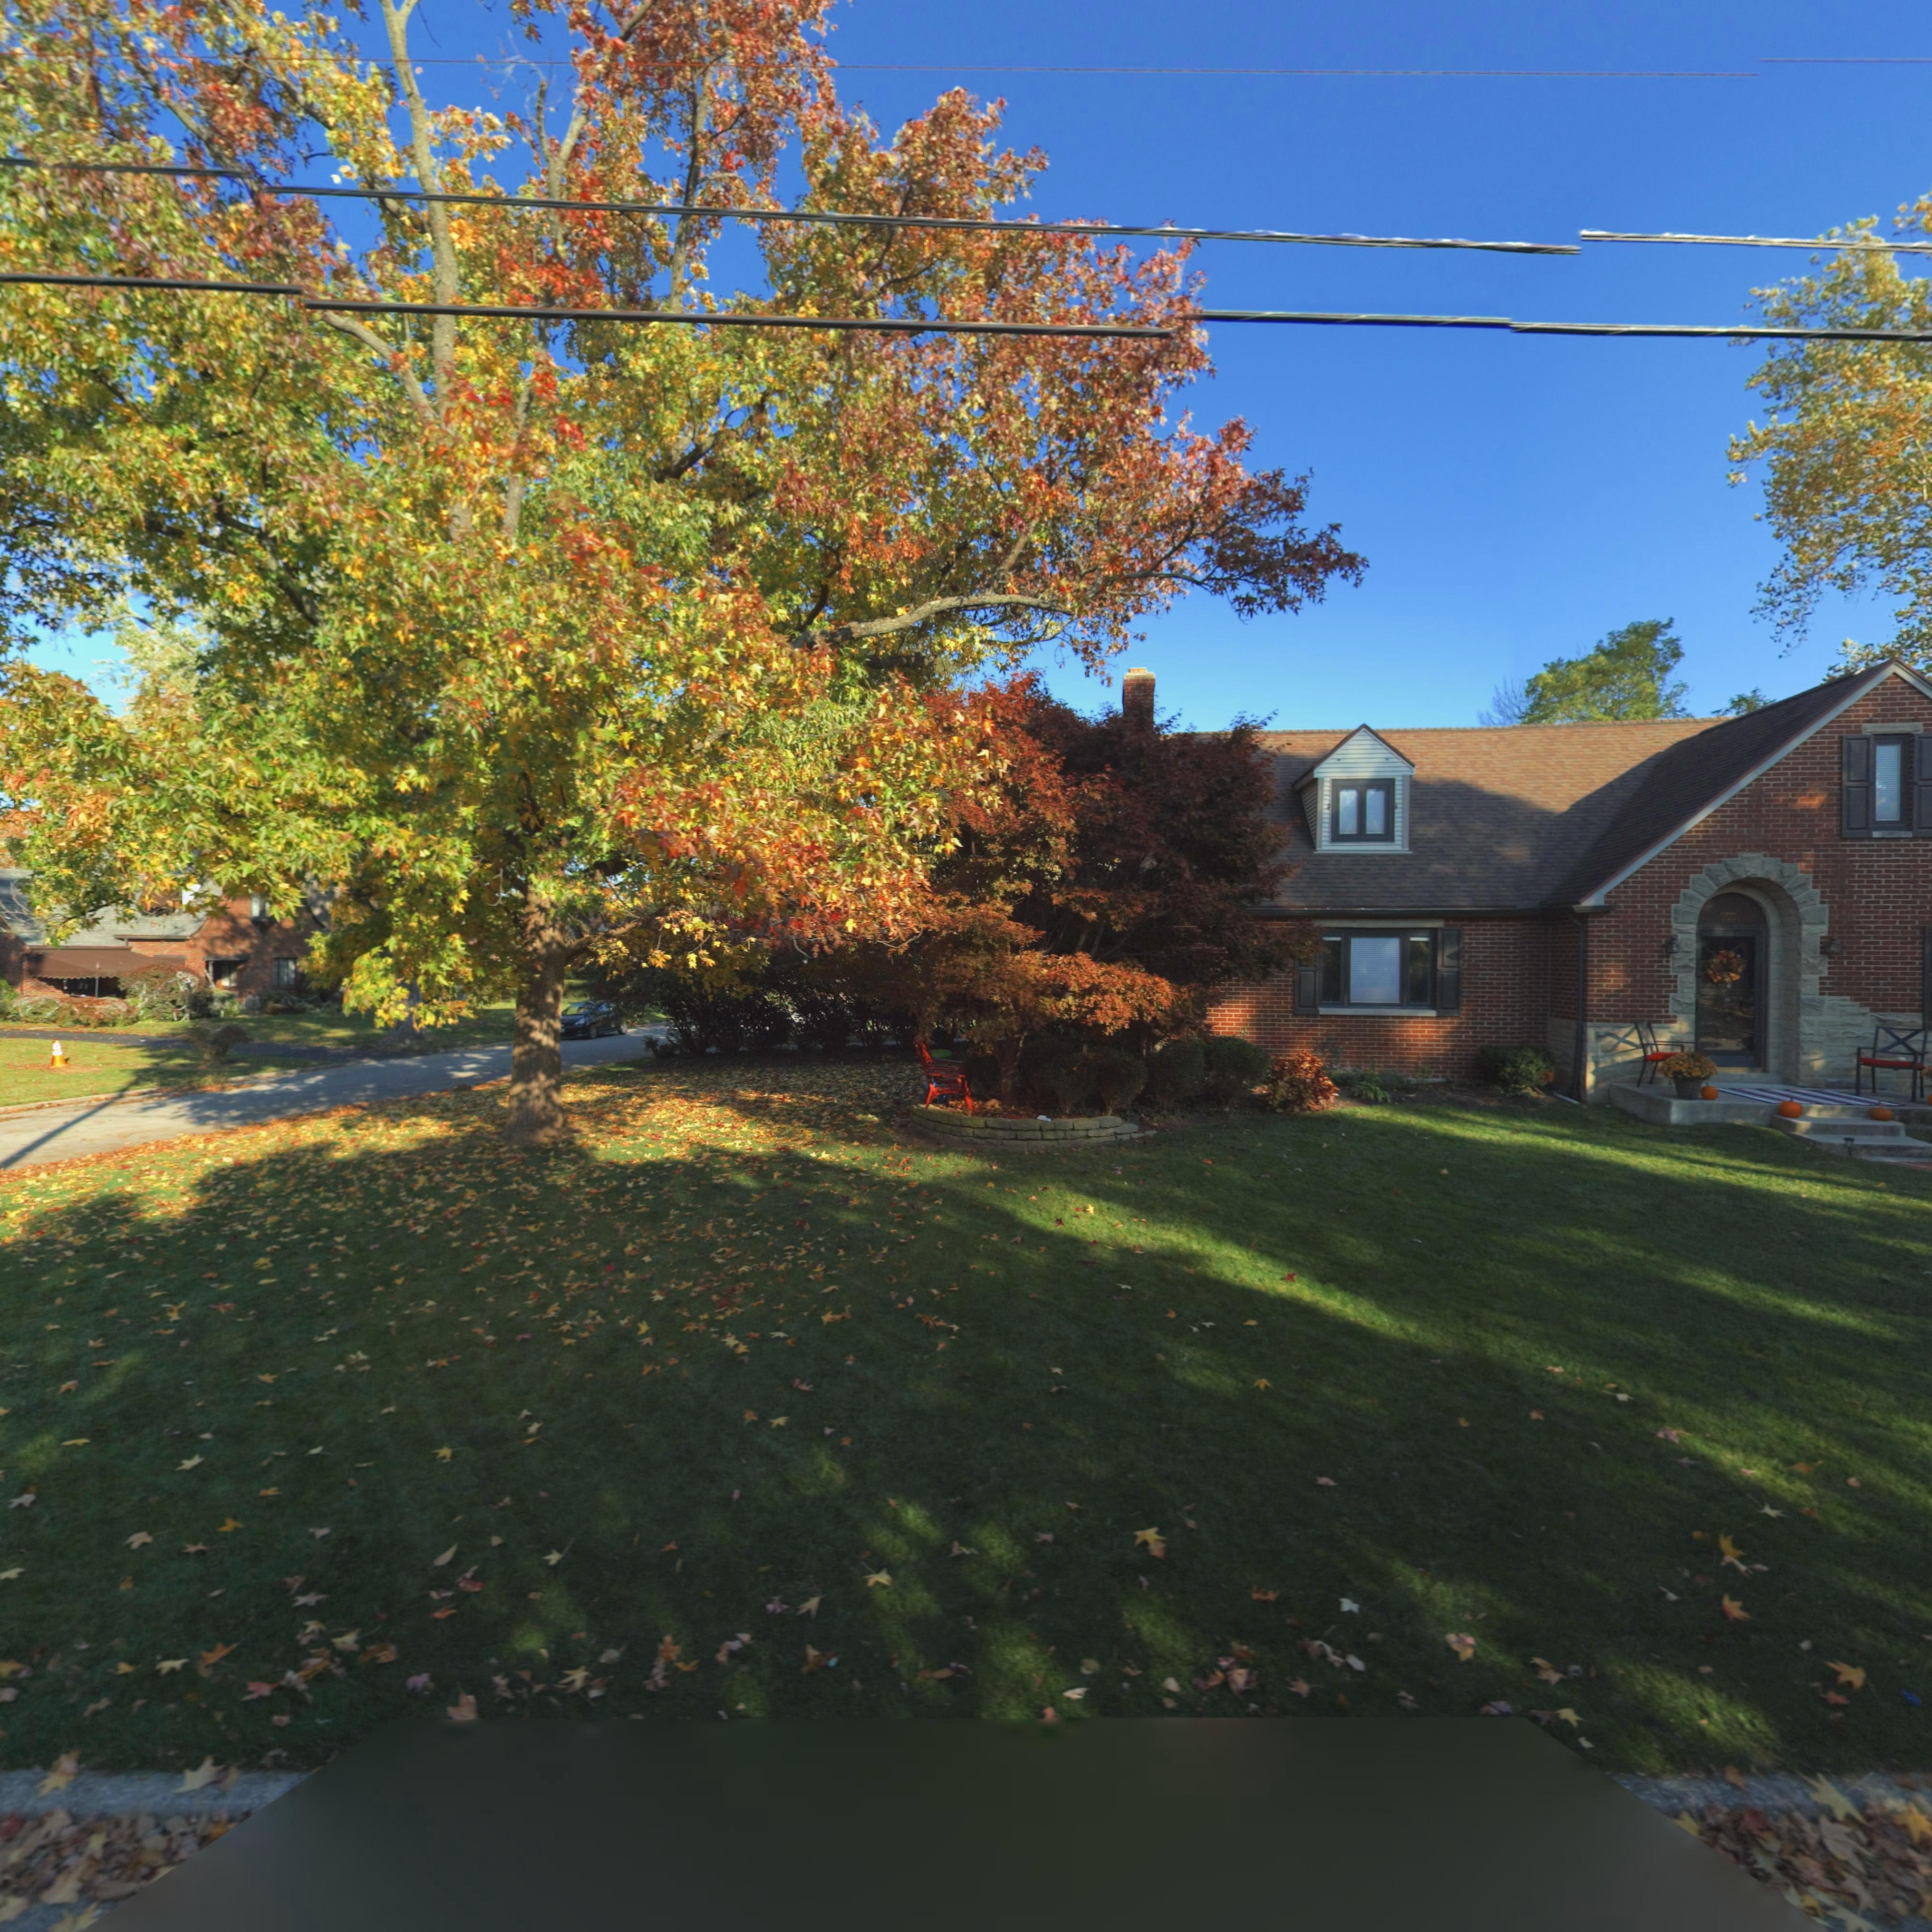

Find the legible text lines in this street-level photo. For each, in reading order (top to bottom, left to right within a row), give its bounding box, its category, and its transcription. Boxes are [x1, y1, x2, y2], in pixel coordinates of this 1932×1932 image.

[1720, 912, 1738, 921] StreetNumber: 900